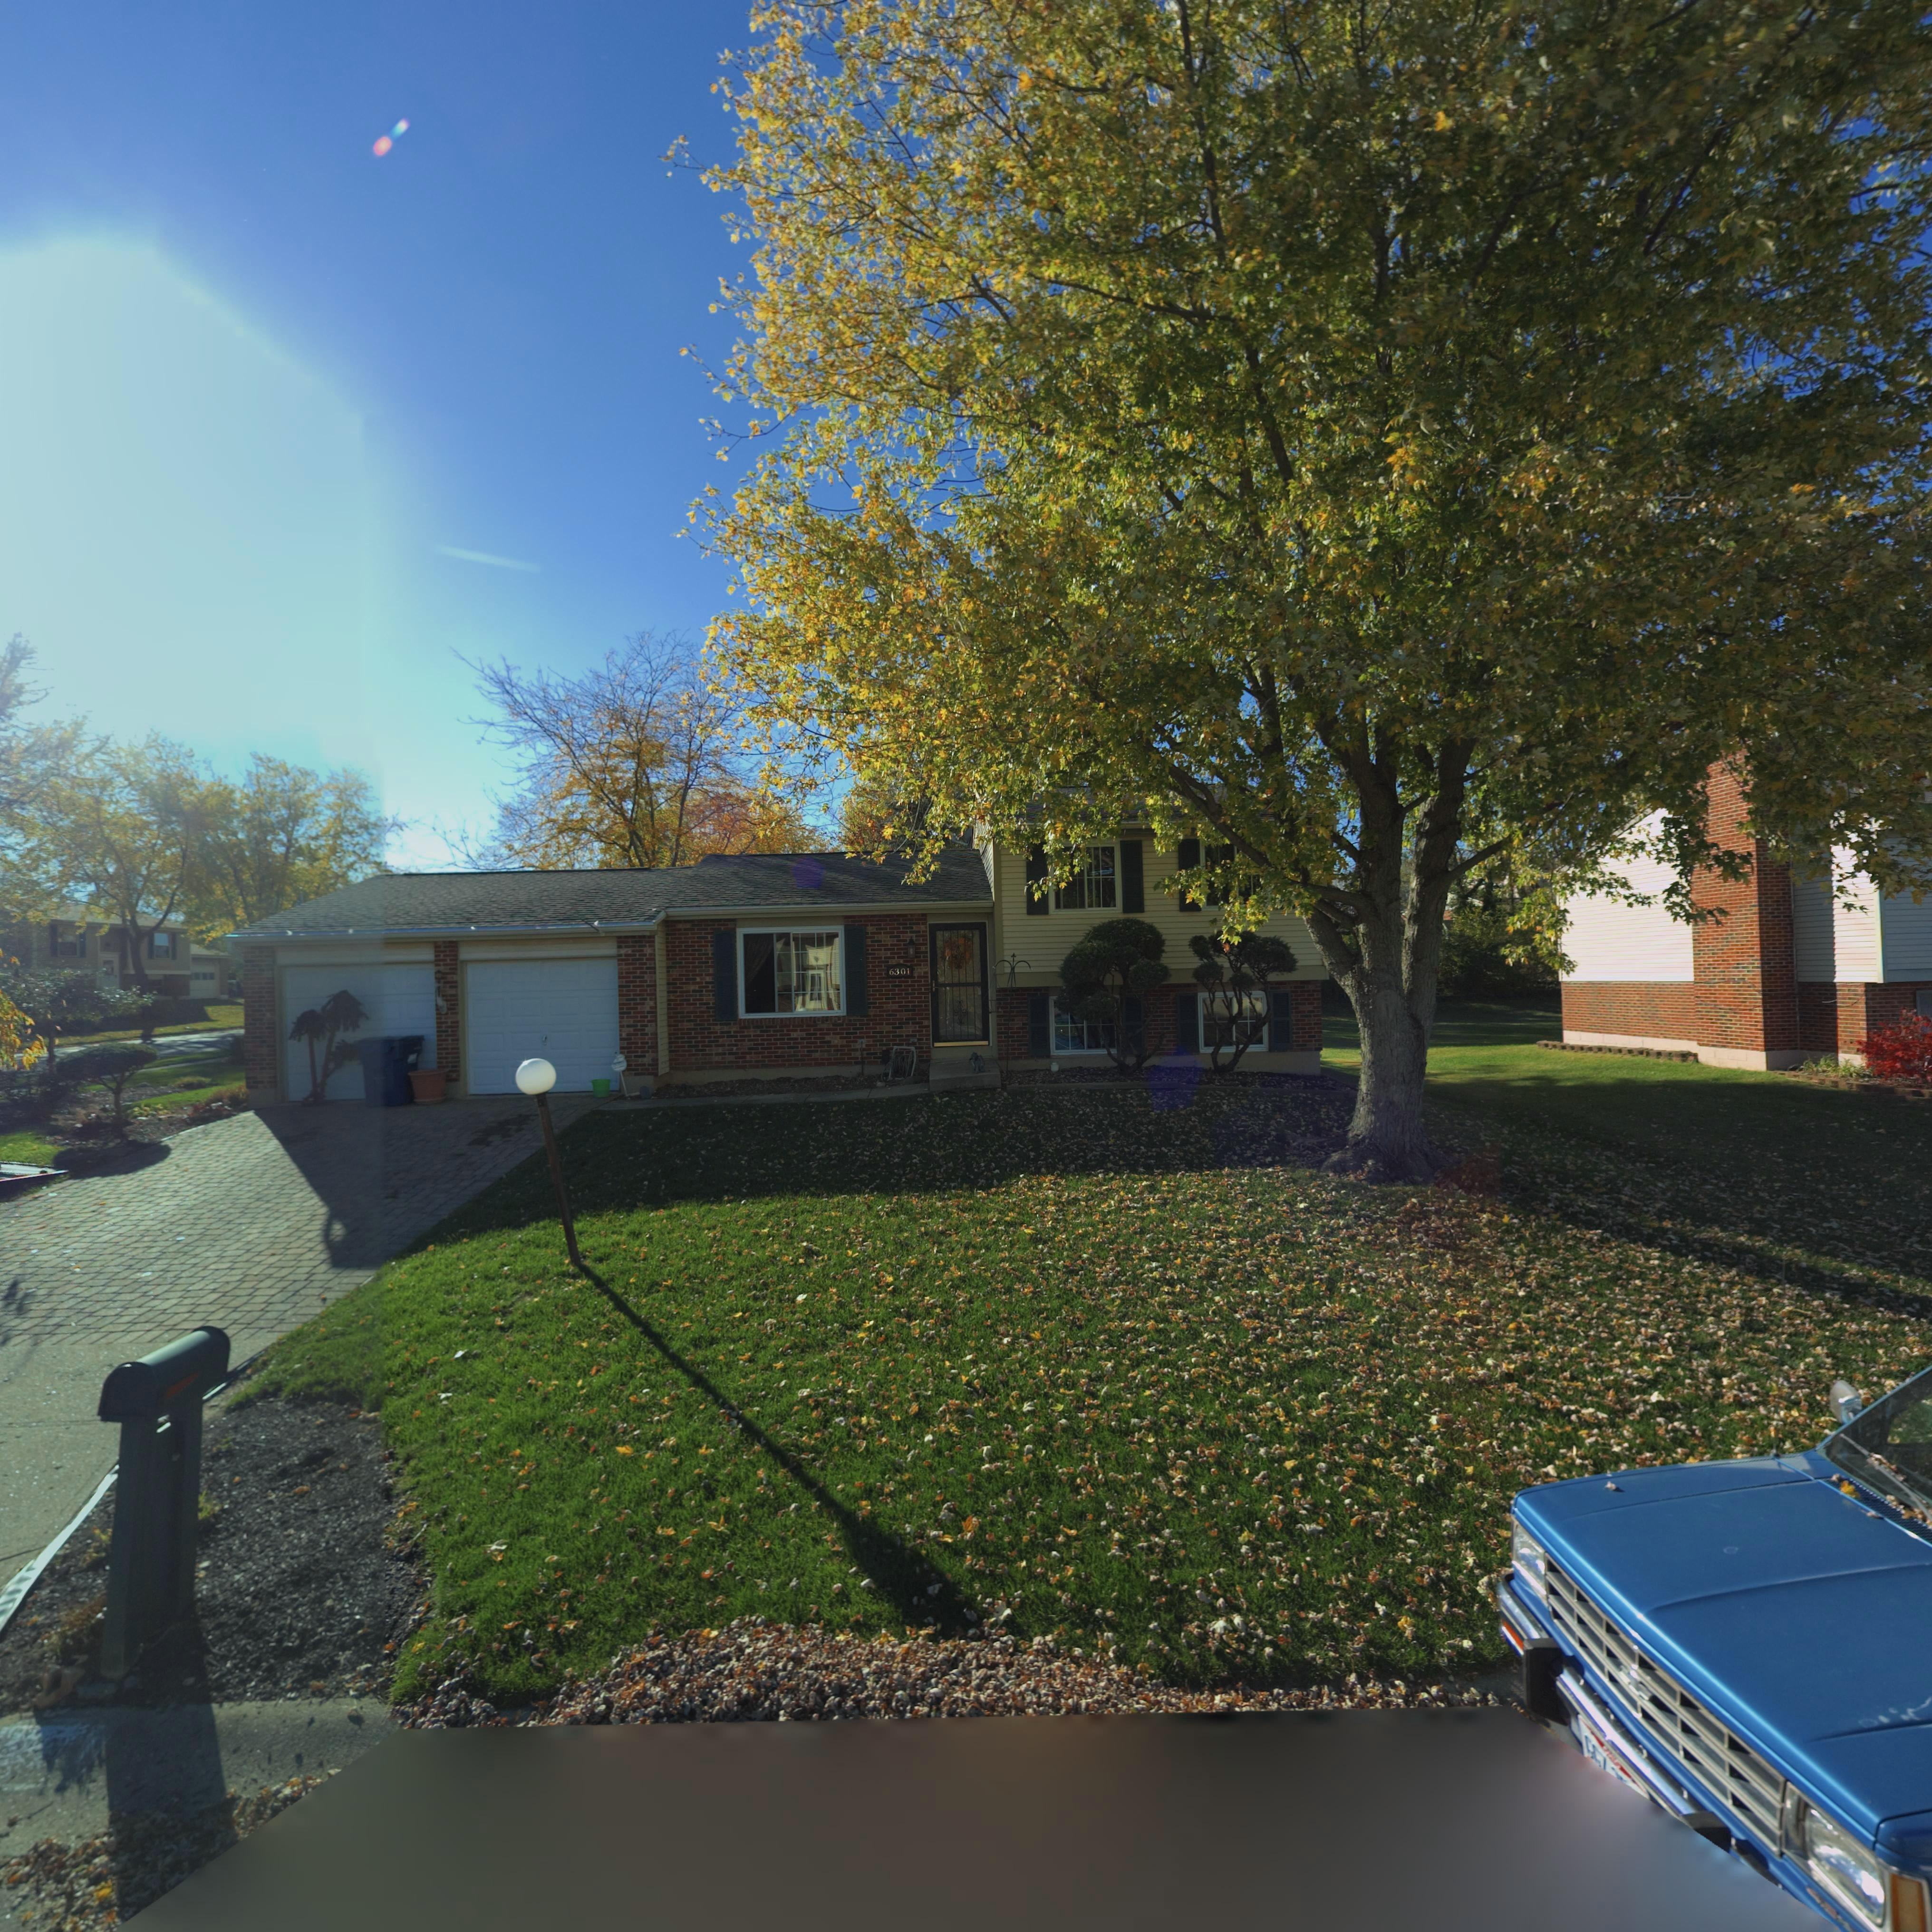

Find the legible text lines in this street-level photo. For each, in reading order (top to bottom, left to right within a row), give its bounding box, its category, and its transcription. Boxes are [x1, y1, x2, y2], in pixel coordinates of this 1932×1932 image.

[888, 966, 911, 977] StreetNumber: 6301